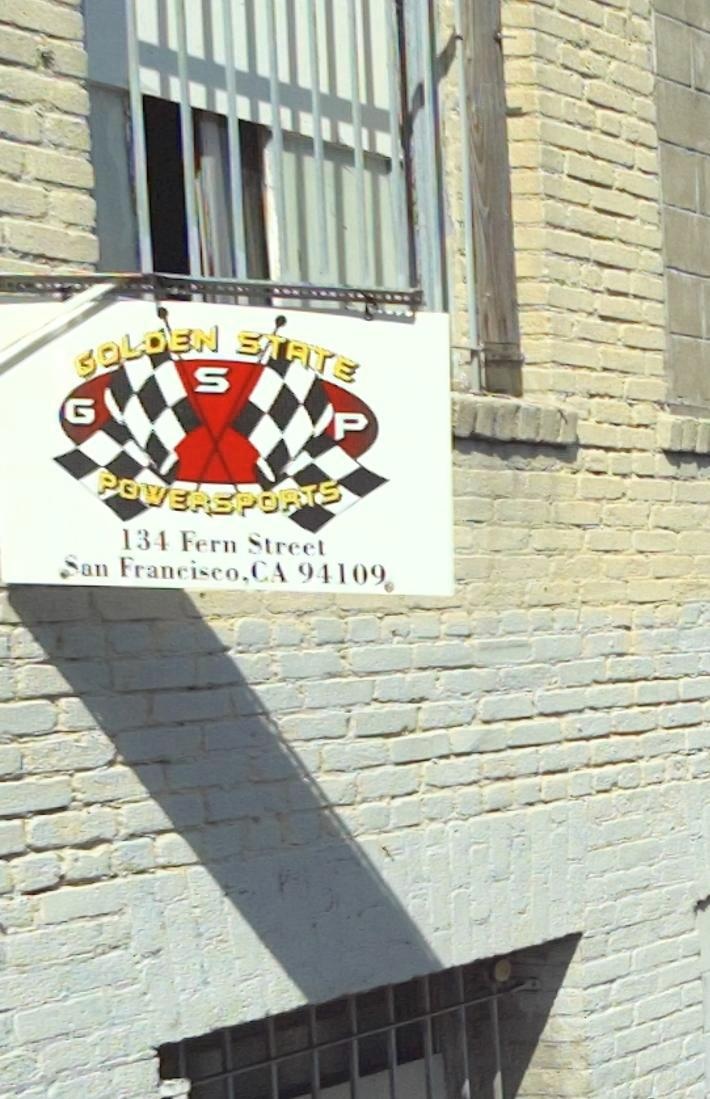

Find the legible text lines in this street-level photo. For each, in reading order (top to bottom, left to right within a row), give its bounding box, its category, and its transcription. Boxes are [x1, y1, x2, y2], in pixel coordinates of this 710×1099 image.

[69, 322, 365, 388] BusinessName: GOLDEN STATE
[192, 364, 232, 396] None: S
[63, 395, 97, 427] None: G
[332, 410, 372, 443] None: P
[91, 468, 344, 521] BusinessName: POWERSPORTS
[120, 526, 171, 553] StreetNumber: 134
[180, 528, 326, 559] StreetName: Fern Street
[61, 551, 389, 588] None: San Francisco,CA 94109